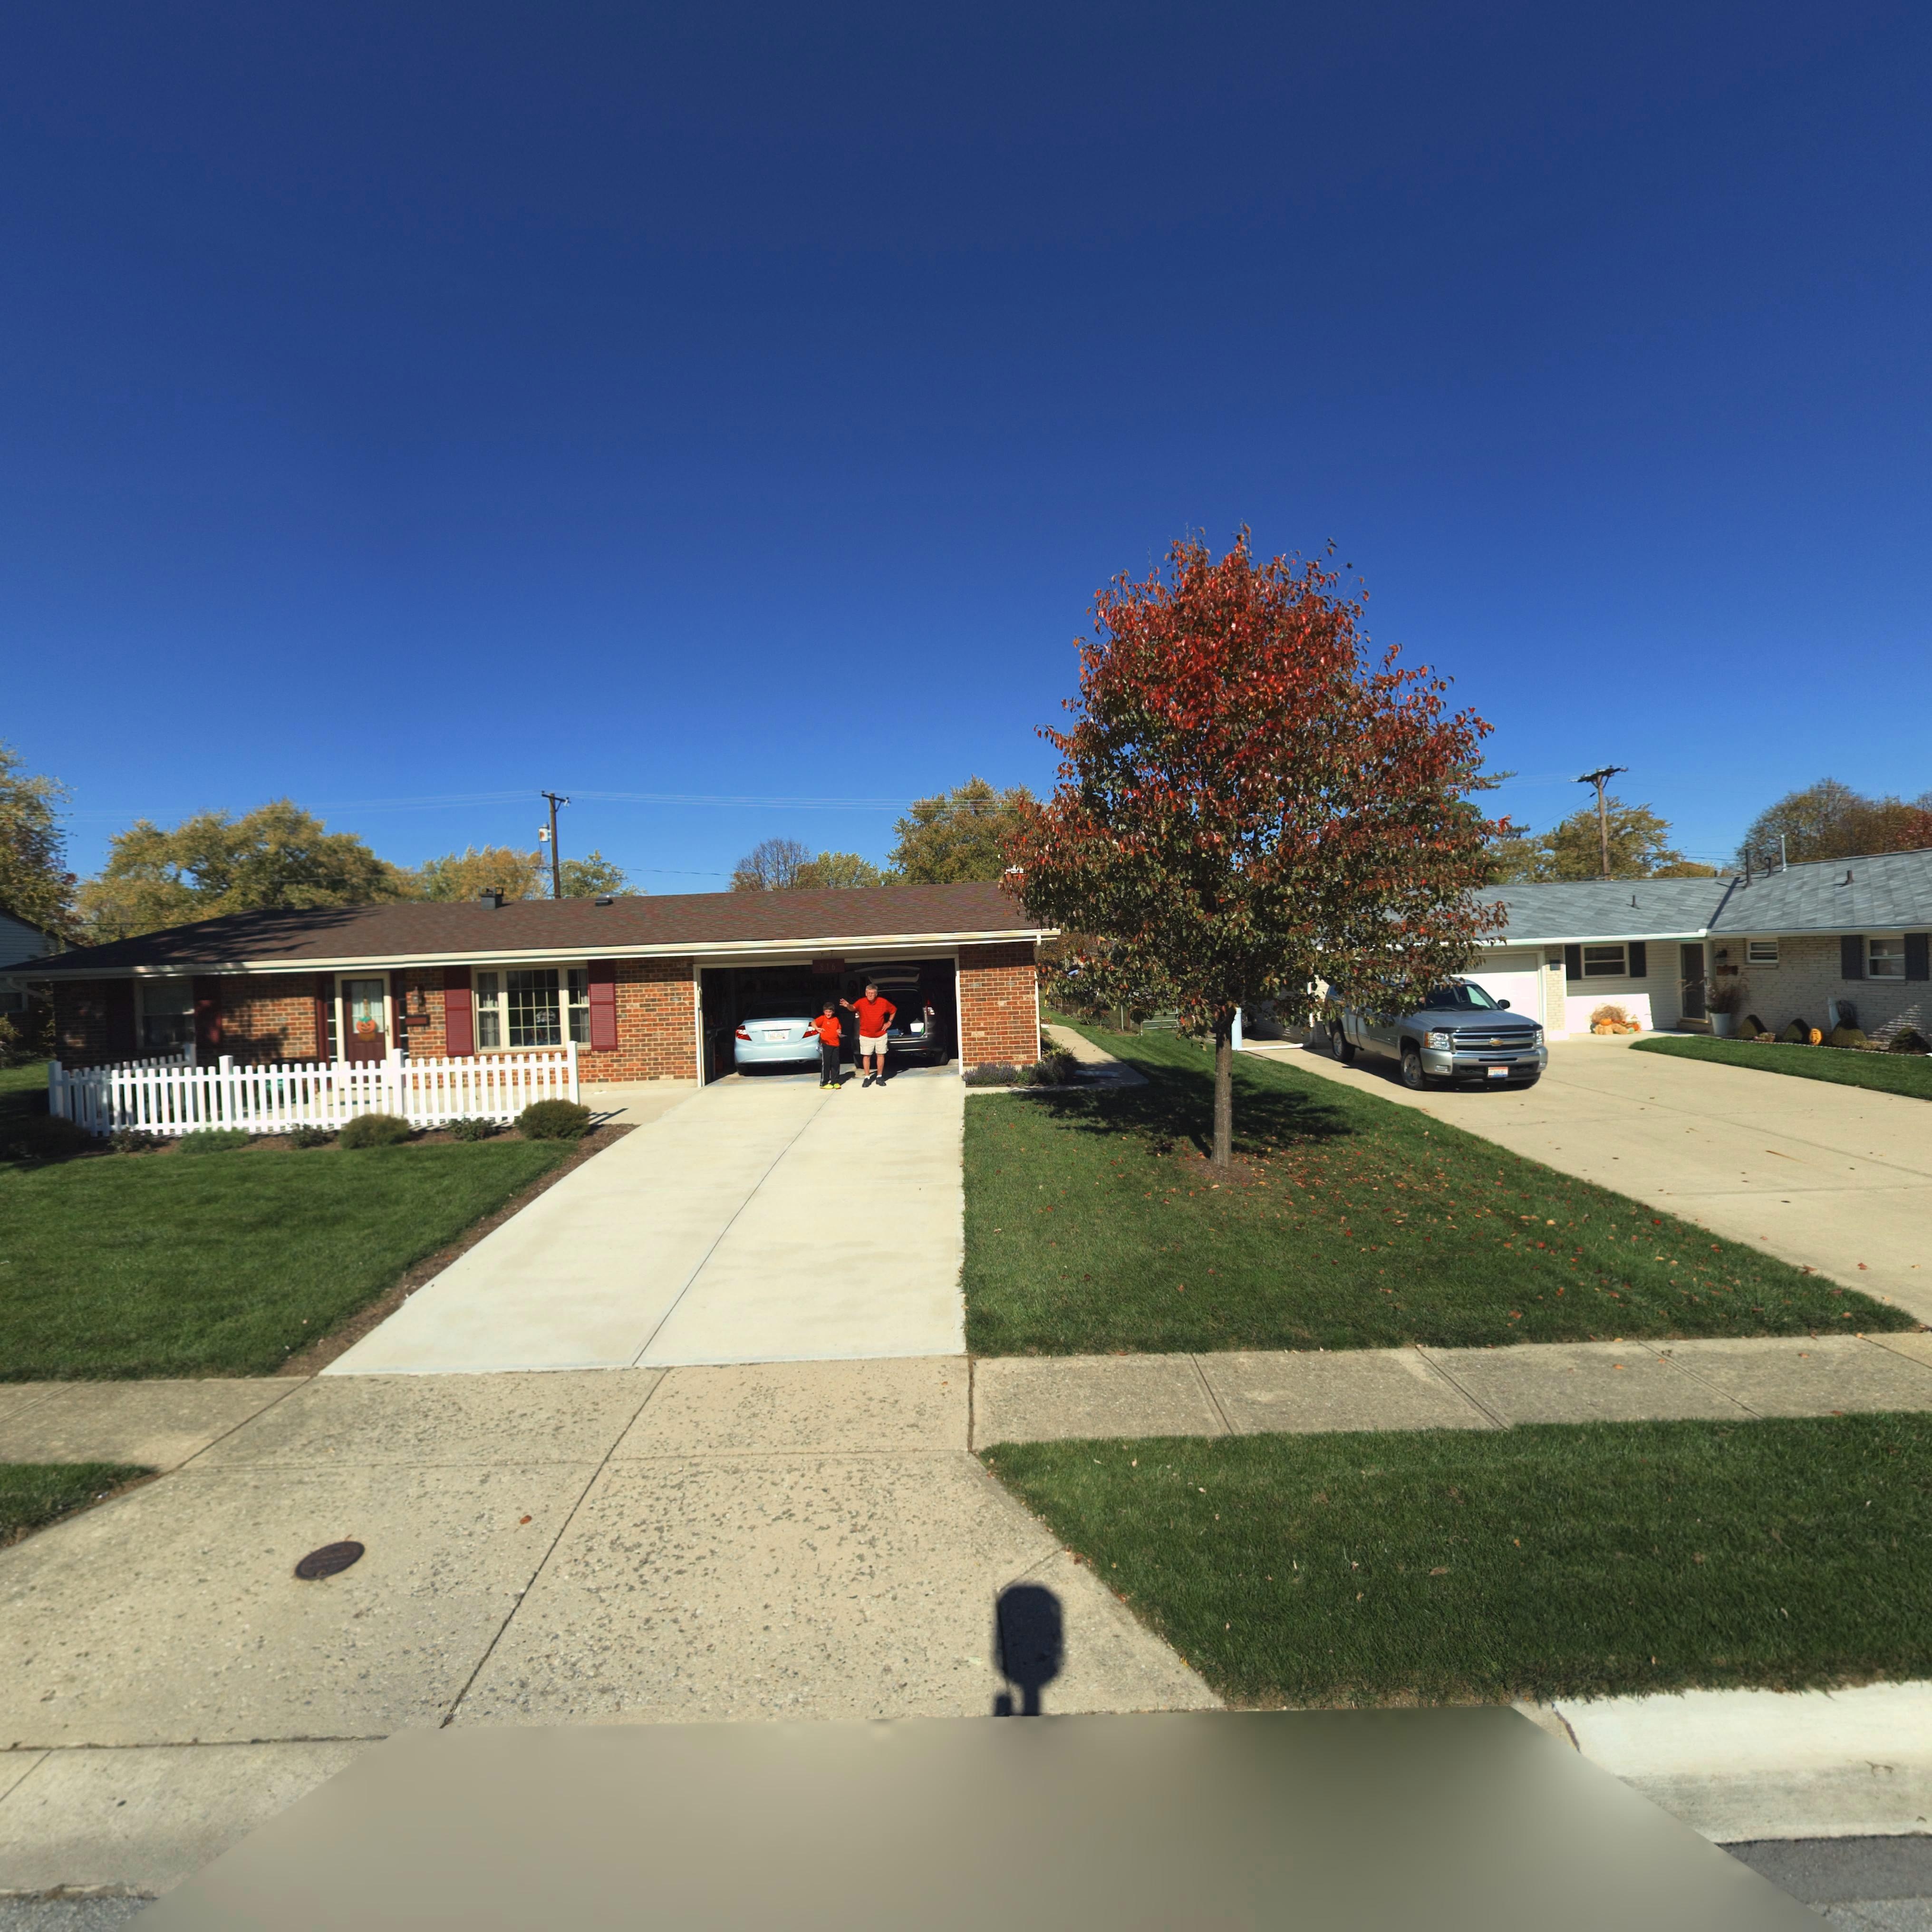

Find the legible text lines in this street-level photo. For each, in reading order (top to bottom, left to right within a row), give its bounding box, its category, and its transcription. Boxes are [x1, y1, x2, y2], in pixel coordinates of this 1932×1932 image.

[819, 962, 836, 971] StreetNumber: 816